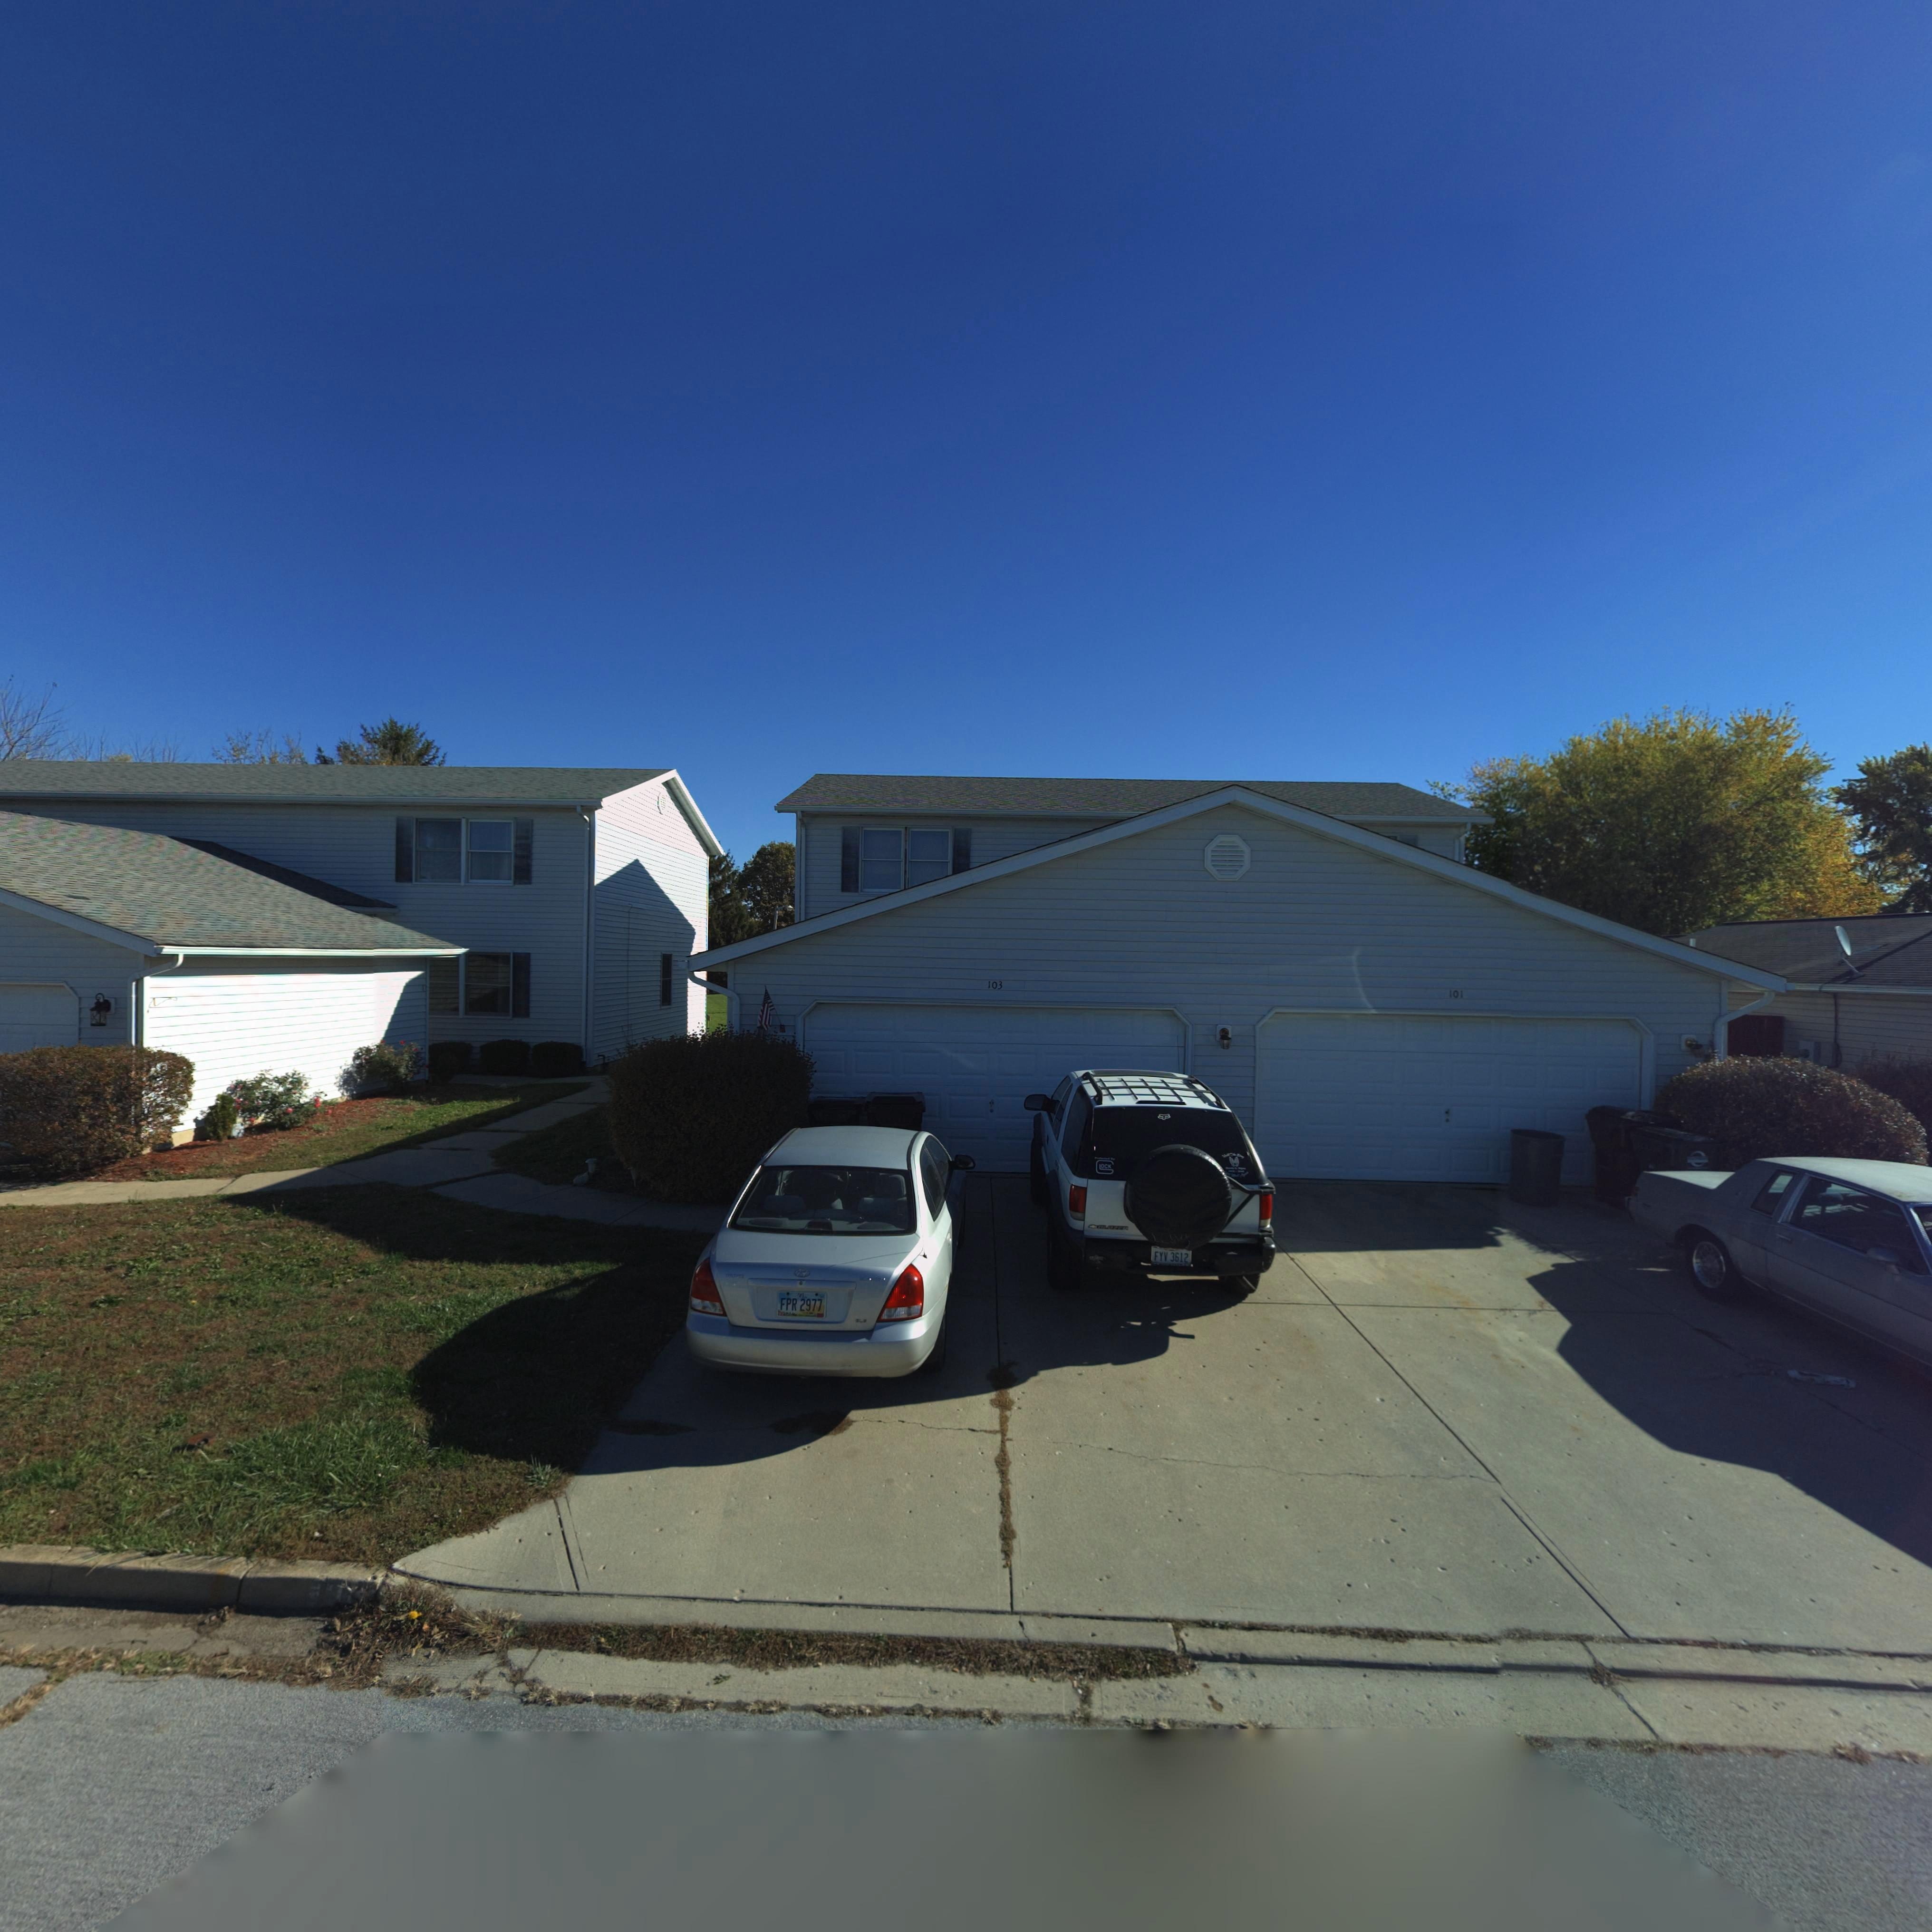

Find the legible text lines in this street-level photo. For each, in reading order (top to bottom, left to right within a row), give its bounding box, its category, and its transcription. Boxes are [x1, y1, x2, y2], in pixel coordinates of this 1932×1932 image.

[986, 980, 1003, 990] StreetNumber: 103
[1448, 989, 1464, 999] StreetNumber: 101